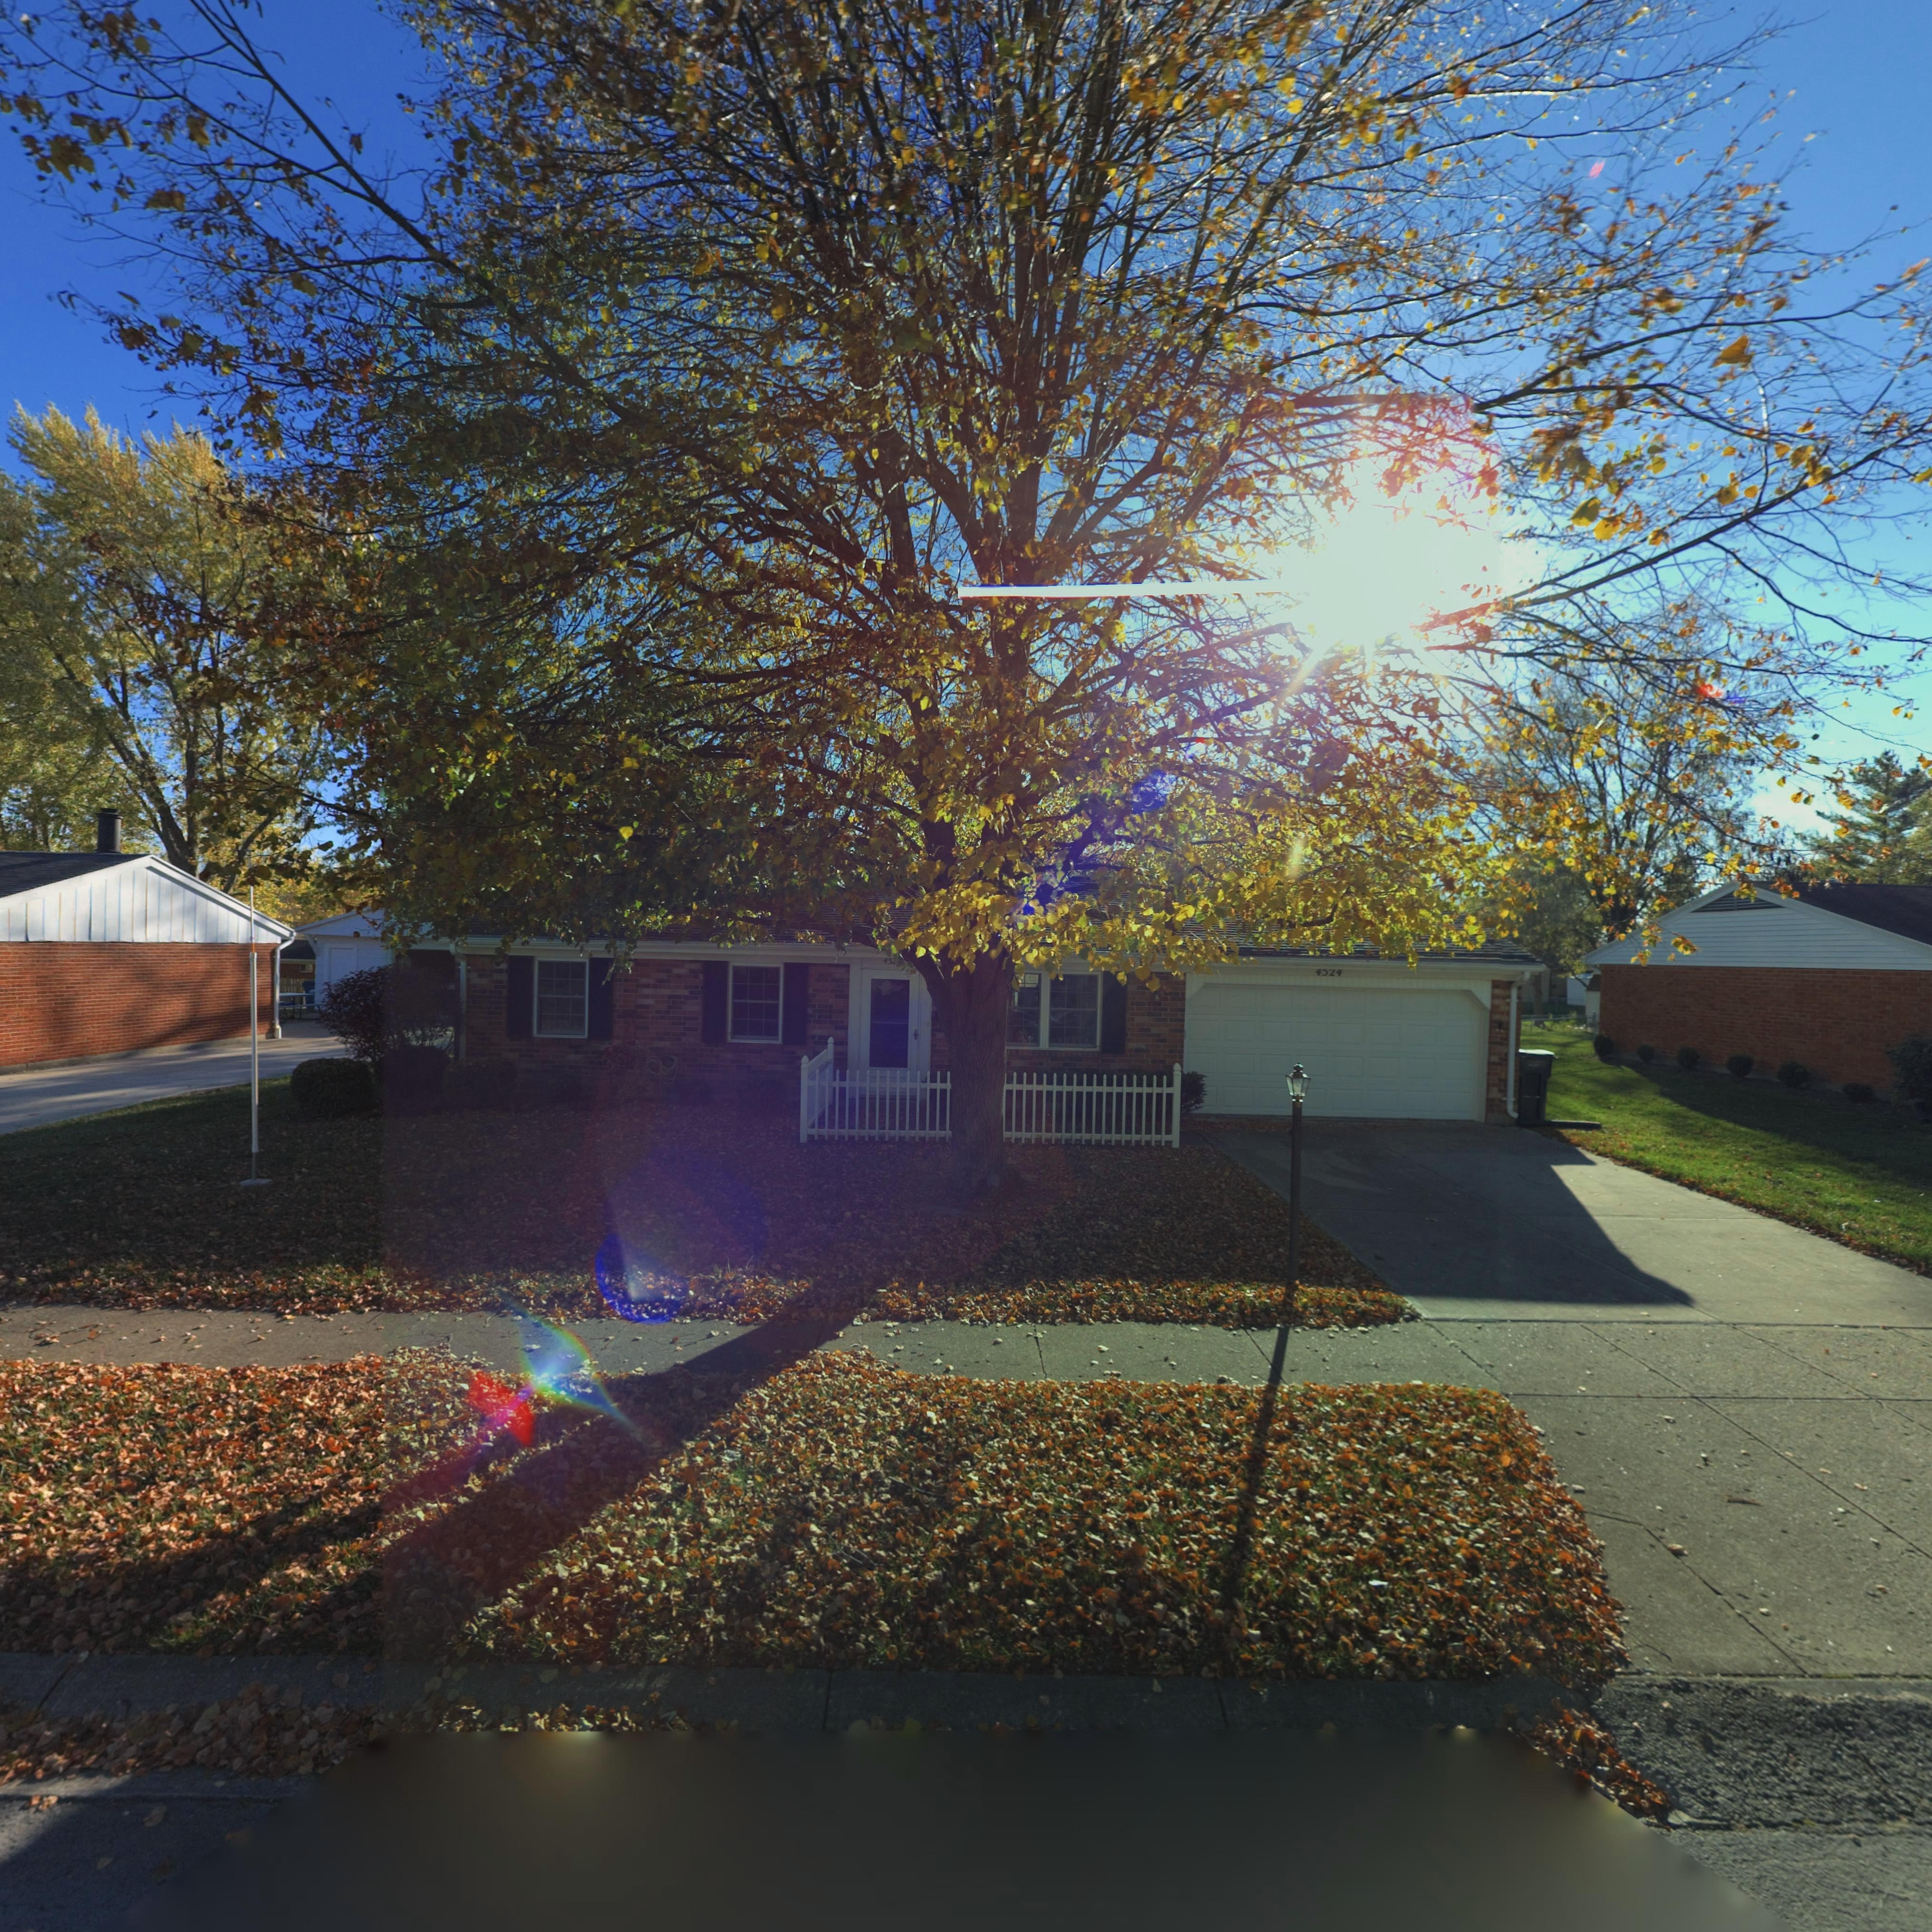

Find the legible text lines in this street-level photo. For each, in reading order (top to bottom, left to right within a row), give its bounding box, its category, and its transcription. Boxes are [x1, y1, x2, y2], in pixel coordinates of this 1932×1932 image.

[883, 957, 892, 965] StreetNumber: 45
[1314, 968, 1344, 977] StreetNumber: 4524